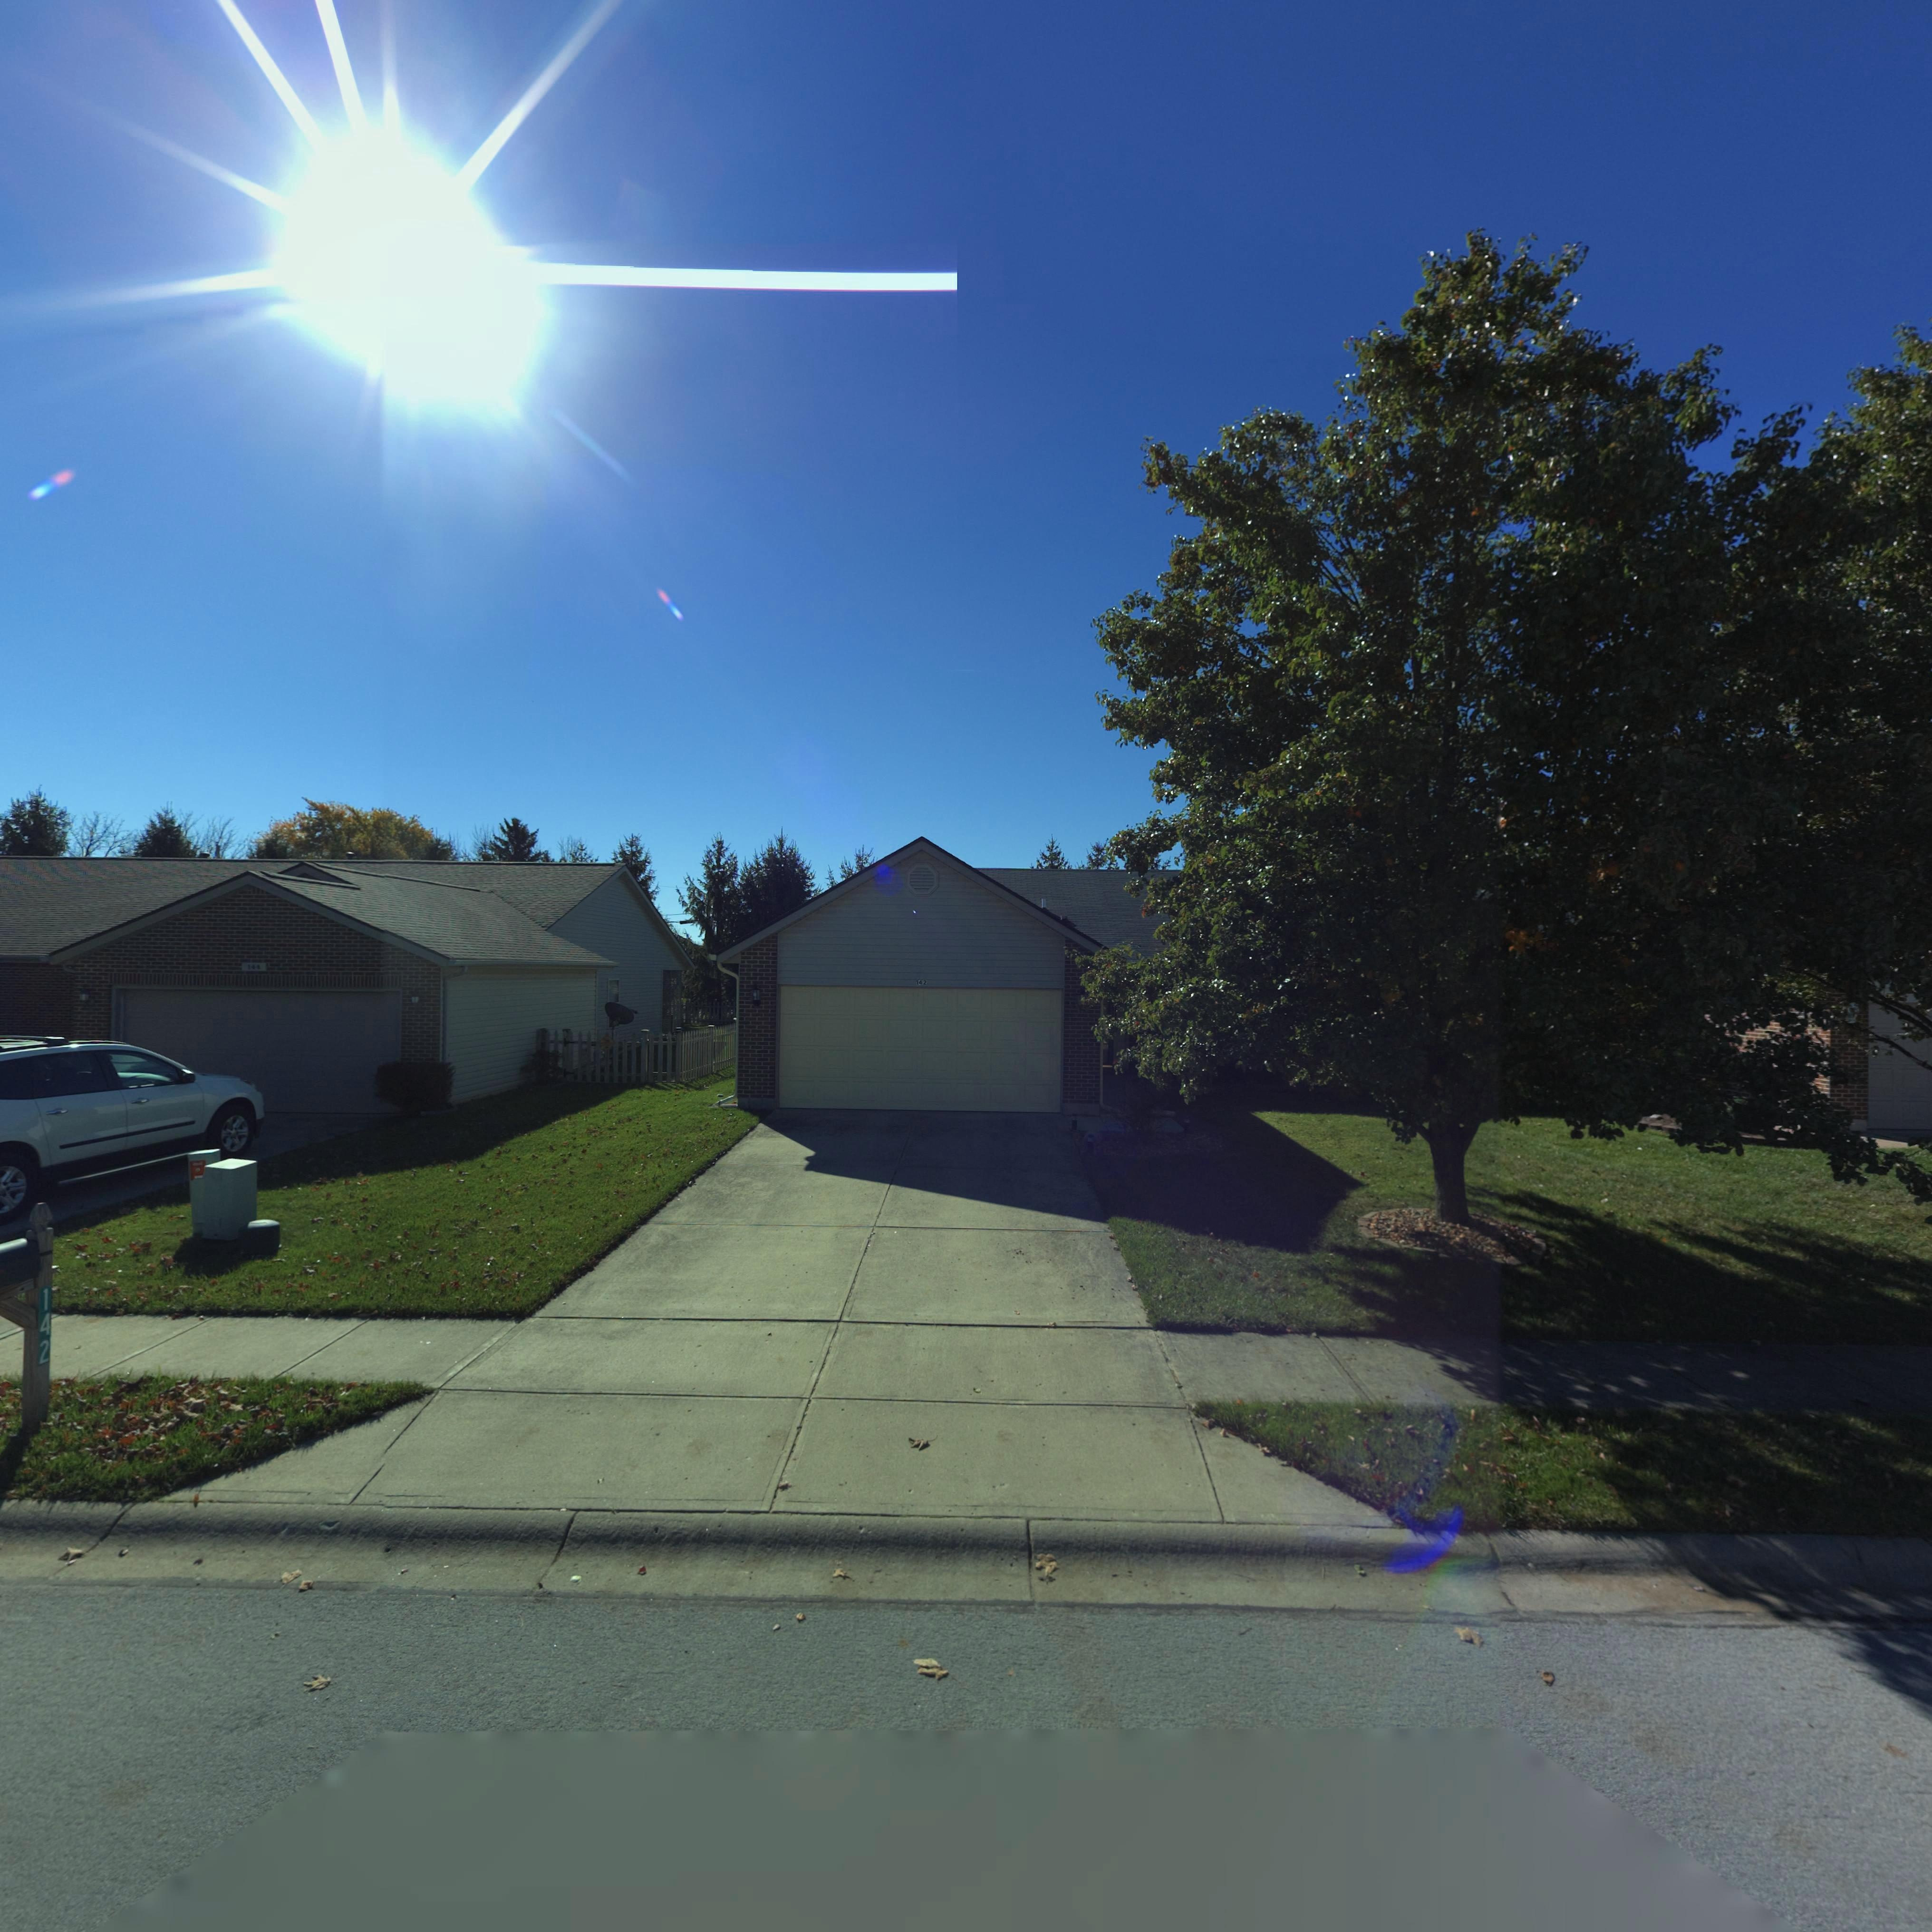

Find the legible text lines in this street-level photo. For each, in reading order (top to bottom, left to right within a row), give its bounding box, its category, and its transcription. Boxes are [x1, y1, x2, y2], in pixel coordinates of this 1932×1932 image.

[247, 964, 261, 970] StreetNumber: 144
[916, 980, 927, 985] StreetNumber: 142
[38, 1287, 51, 1366] StreetNumber: 142